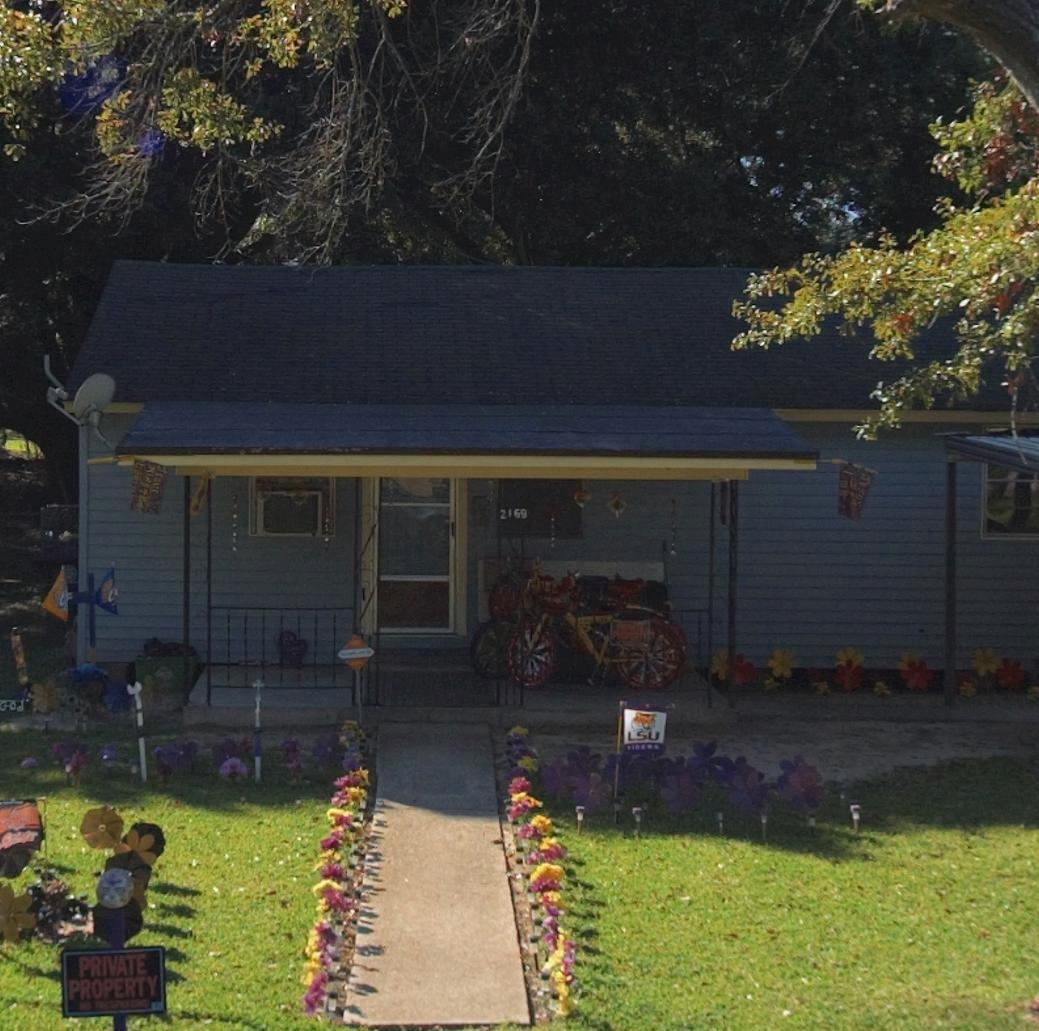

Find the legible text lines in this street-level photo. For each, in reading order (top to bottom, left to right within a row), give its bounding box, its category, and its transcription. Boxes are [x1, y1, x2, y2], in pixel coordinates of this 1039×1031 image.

[499, 507, 529, 520] StreetNumber: 2169
[626, 729, 660, 743] None: LSU
[74, 952, 149, 980] None: PRIVATE
[67, 974, 160, 1002] None: PROPERTY